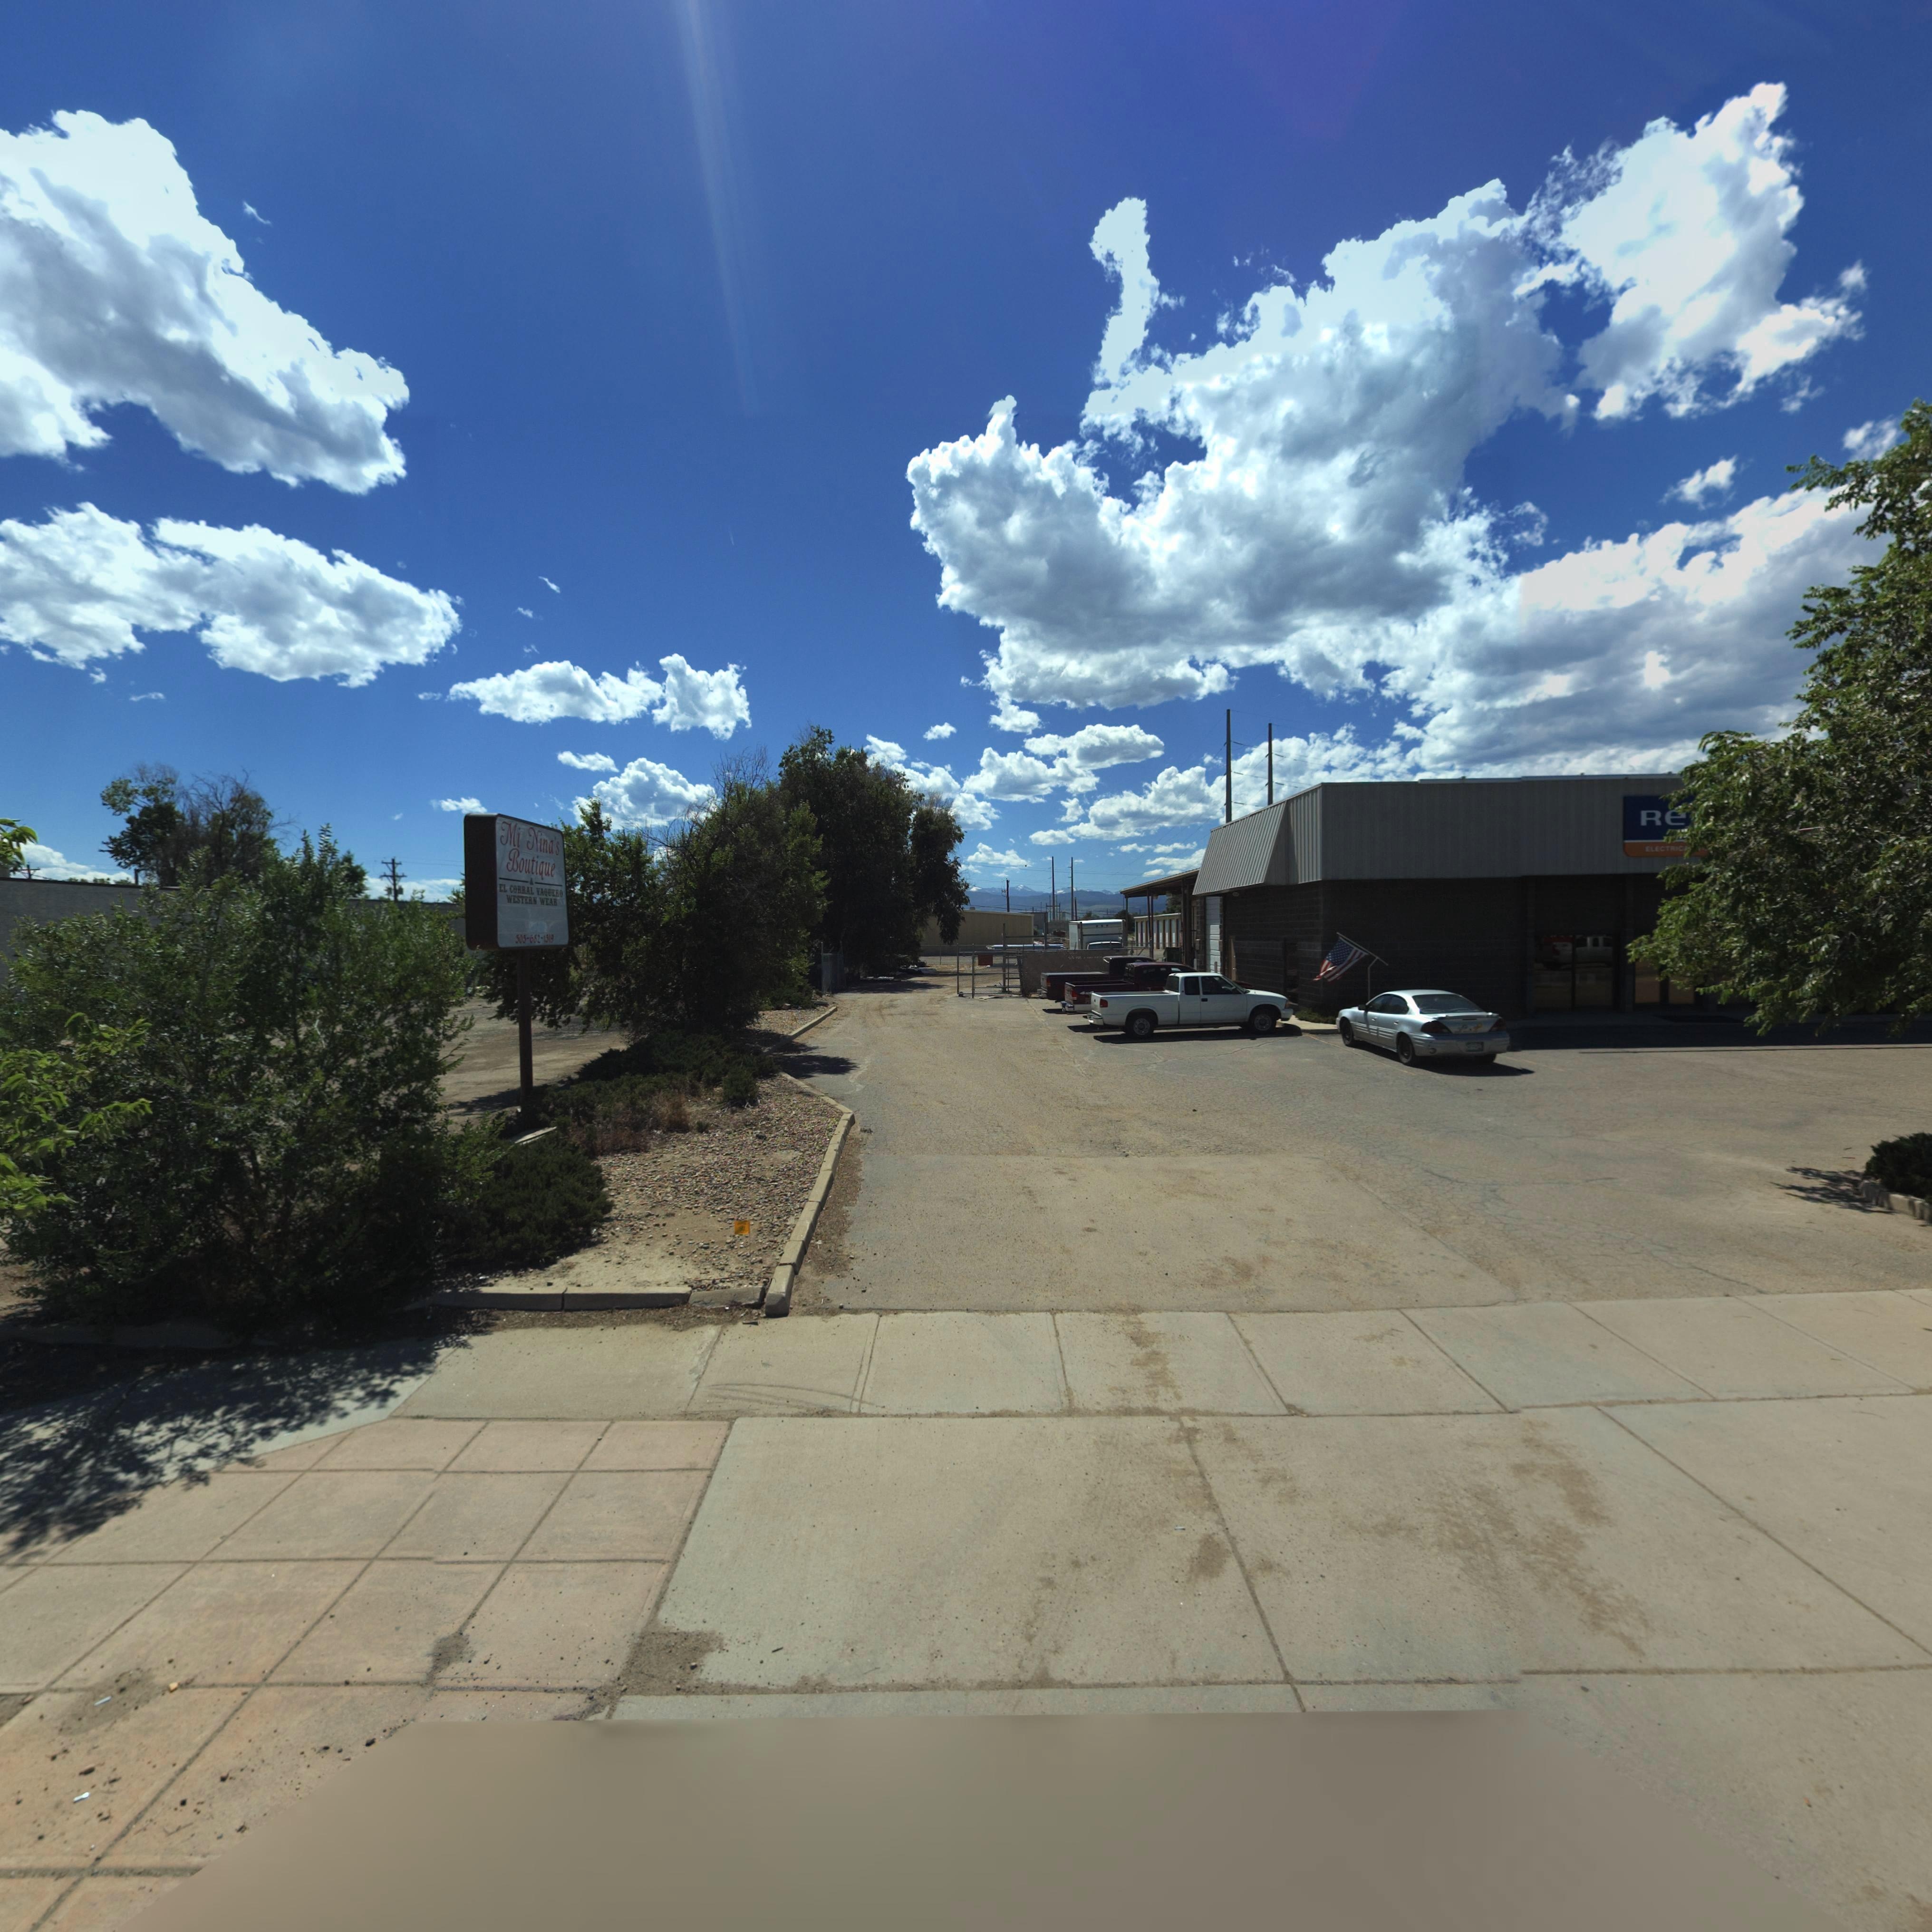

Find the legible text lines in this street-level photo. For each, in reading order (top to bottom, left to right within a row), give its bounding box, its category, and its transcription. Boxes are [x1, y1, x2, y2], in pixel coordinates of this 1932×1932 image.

[1640, 809, 1662, 826] BusinessName: R
[499, 820, 560, 856] BusinessName: Mi Nina's
[1645, 845, 1684, 852] BusinessName: ELECTRIC
[505, 847, 556, 881] BusinessName: Boutique
[498, 883, 563, 898] BusinessName: EL CORRAL VAQUERO
[505, 894, 558, 907] BusinessName: WESTERN WEAR